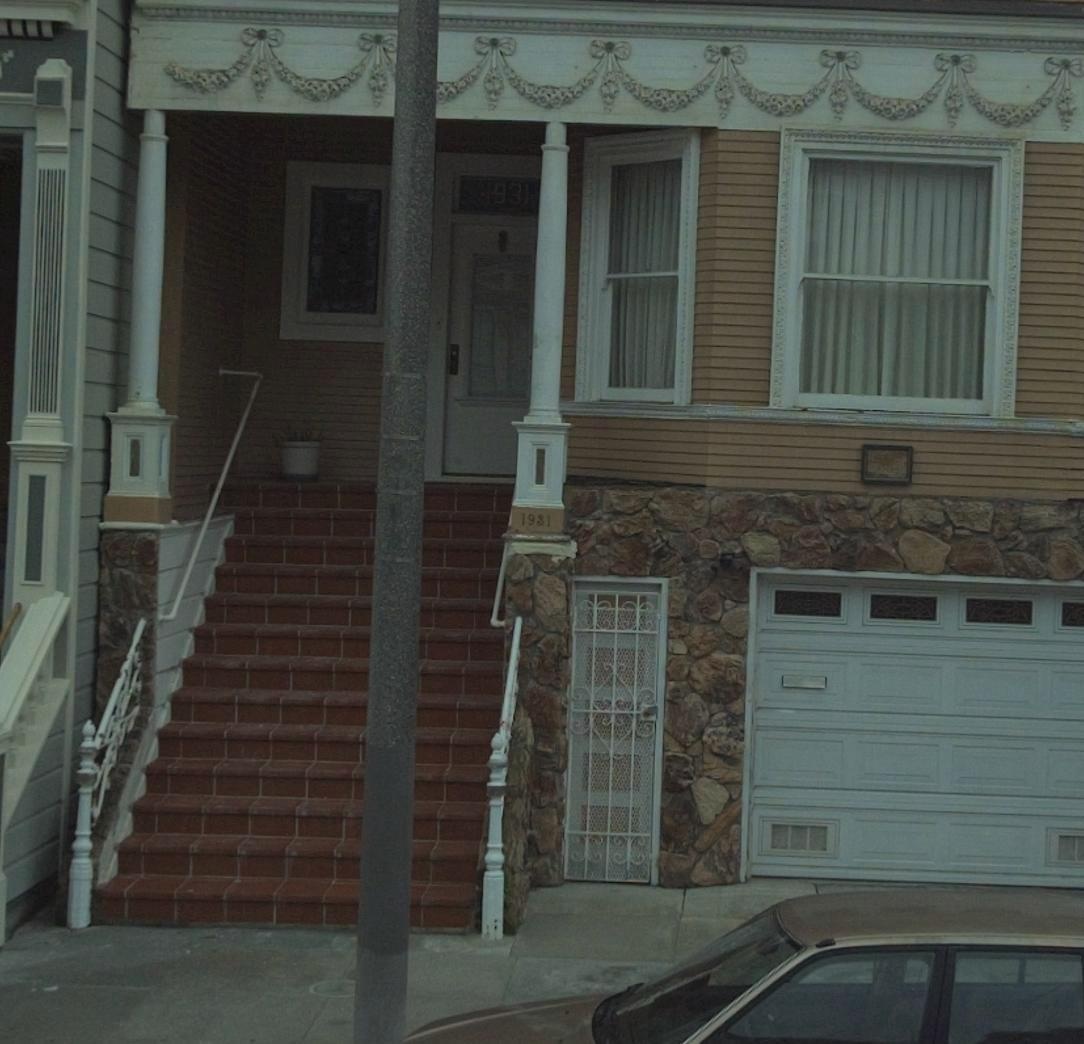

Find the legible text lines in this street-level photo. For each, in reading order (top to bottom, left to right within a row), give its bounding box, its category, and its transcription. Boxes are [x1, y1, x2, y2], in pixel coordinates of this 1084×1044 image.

[518, 511, 555, 530] StreetNumber: 1931